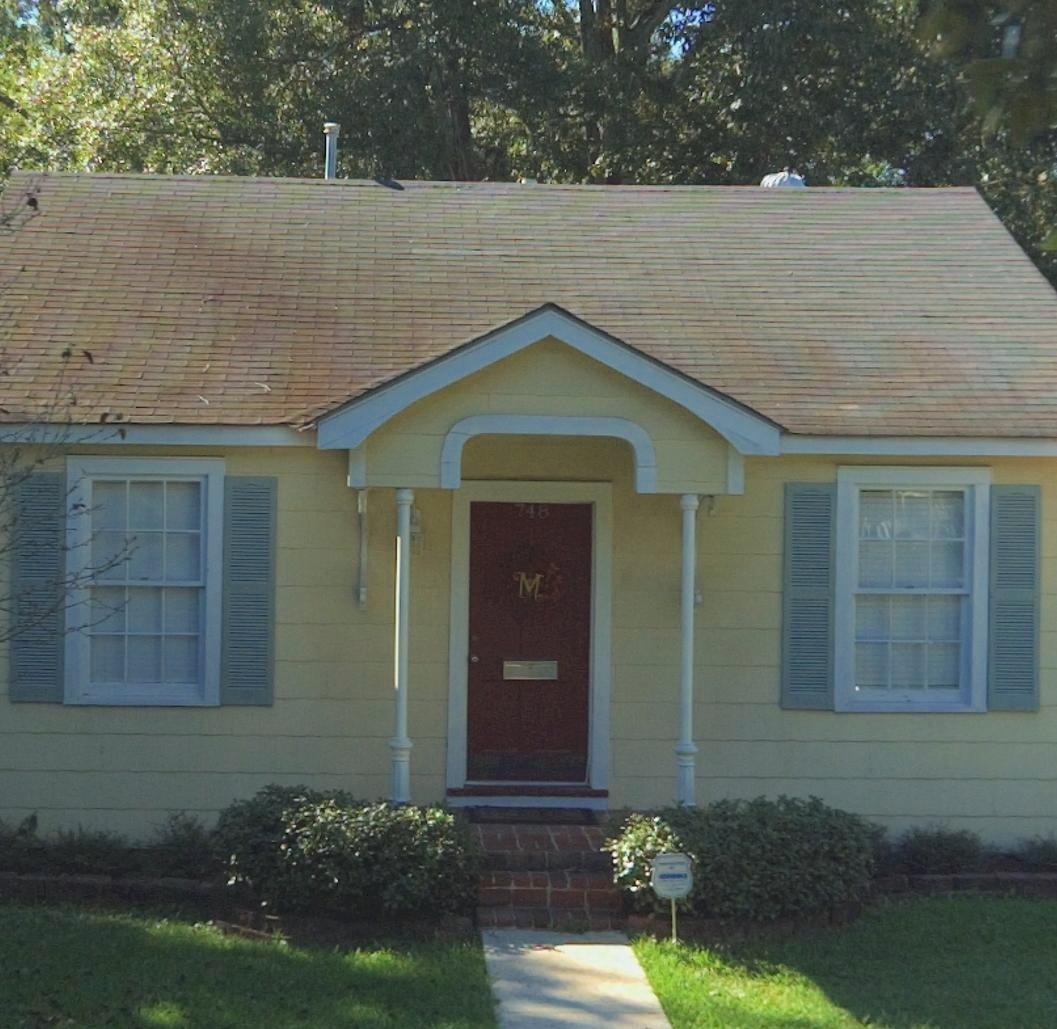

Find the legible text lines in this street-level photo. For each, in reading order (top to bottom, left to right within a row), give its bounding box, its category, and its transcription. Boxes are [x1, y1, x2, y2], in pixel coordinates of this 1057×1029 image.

[513, 502, 550, 520] StreetNumber: 748
[516, 570, 542, 598] None: M